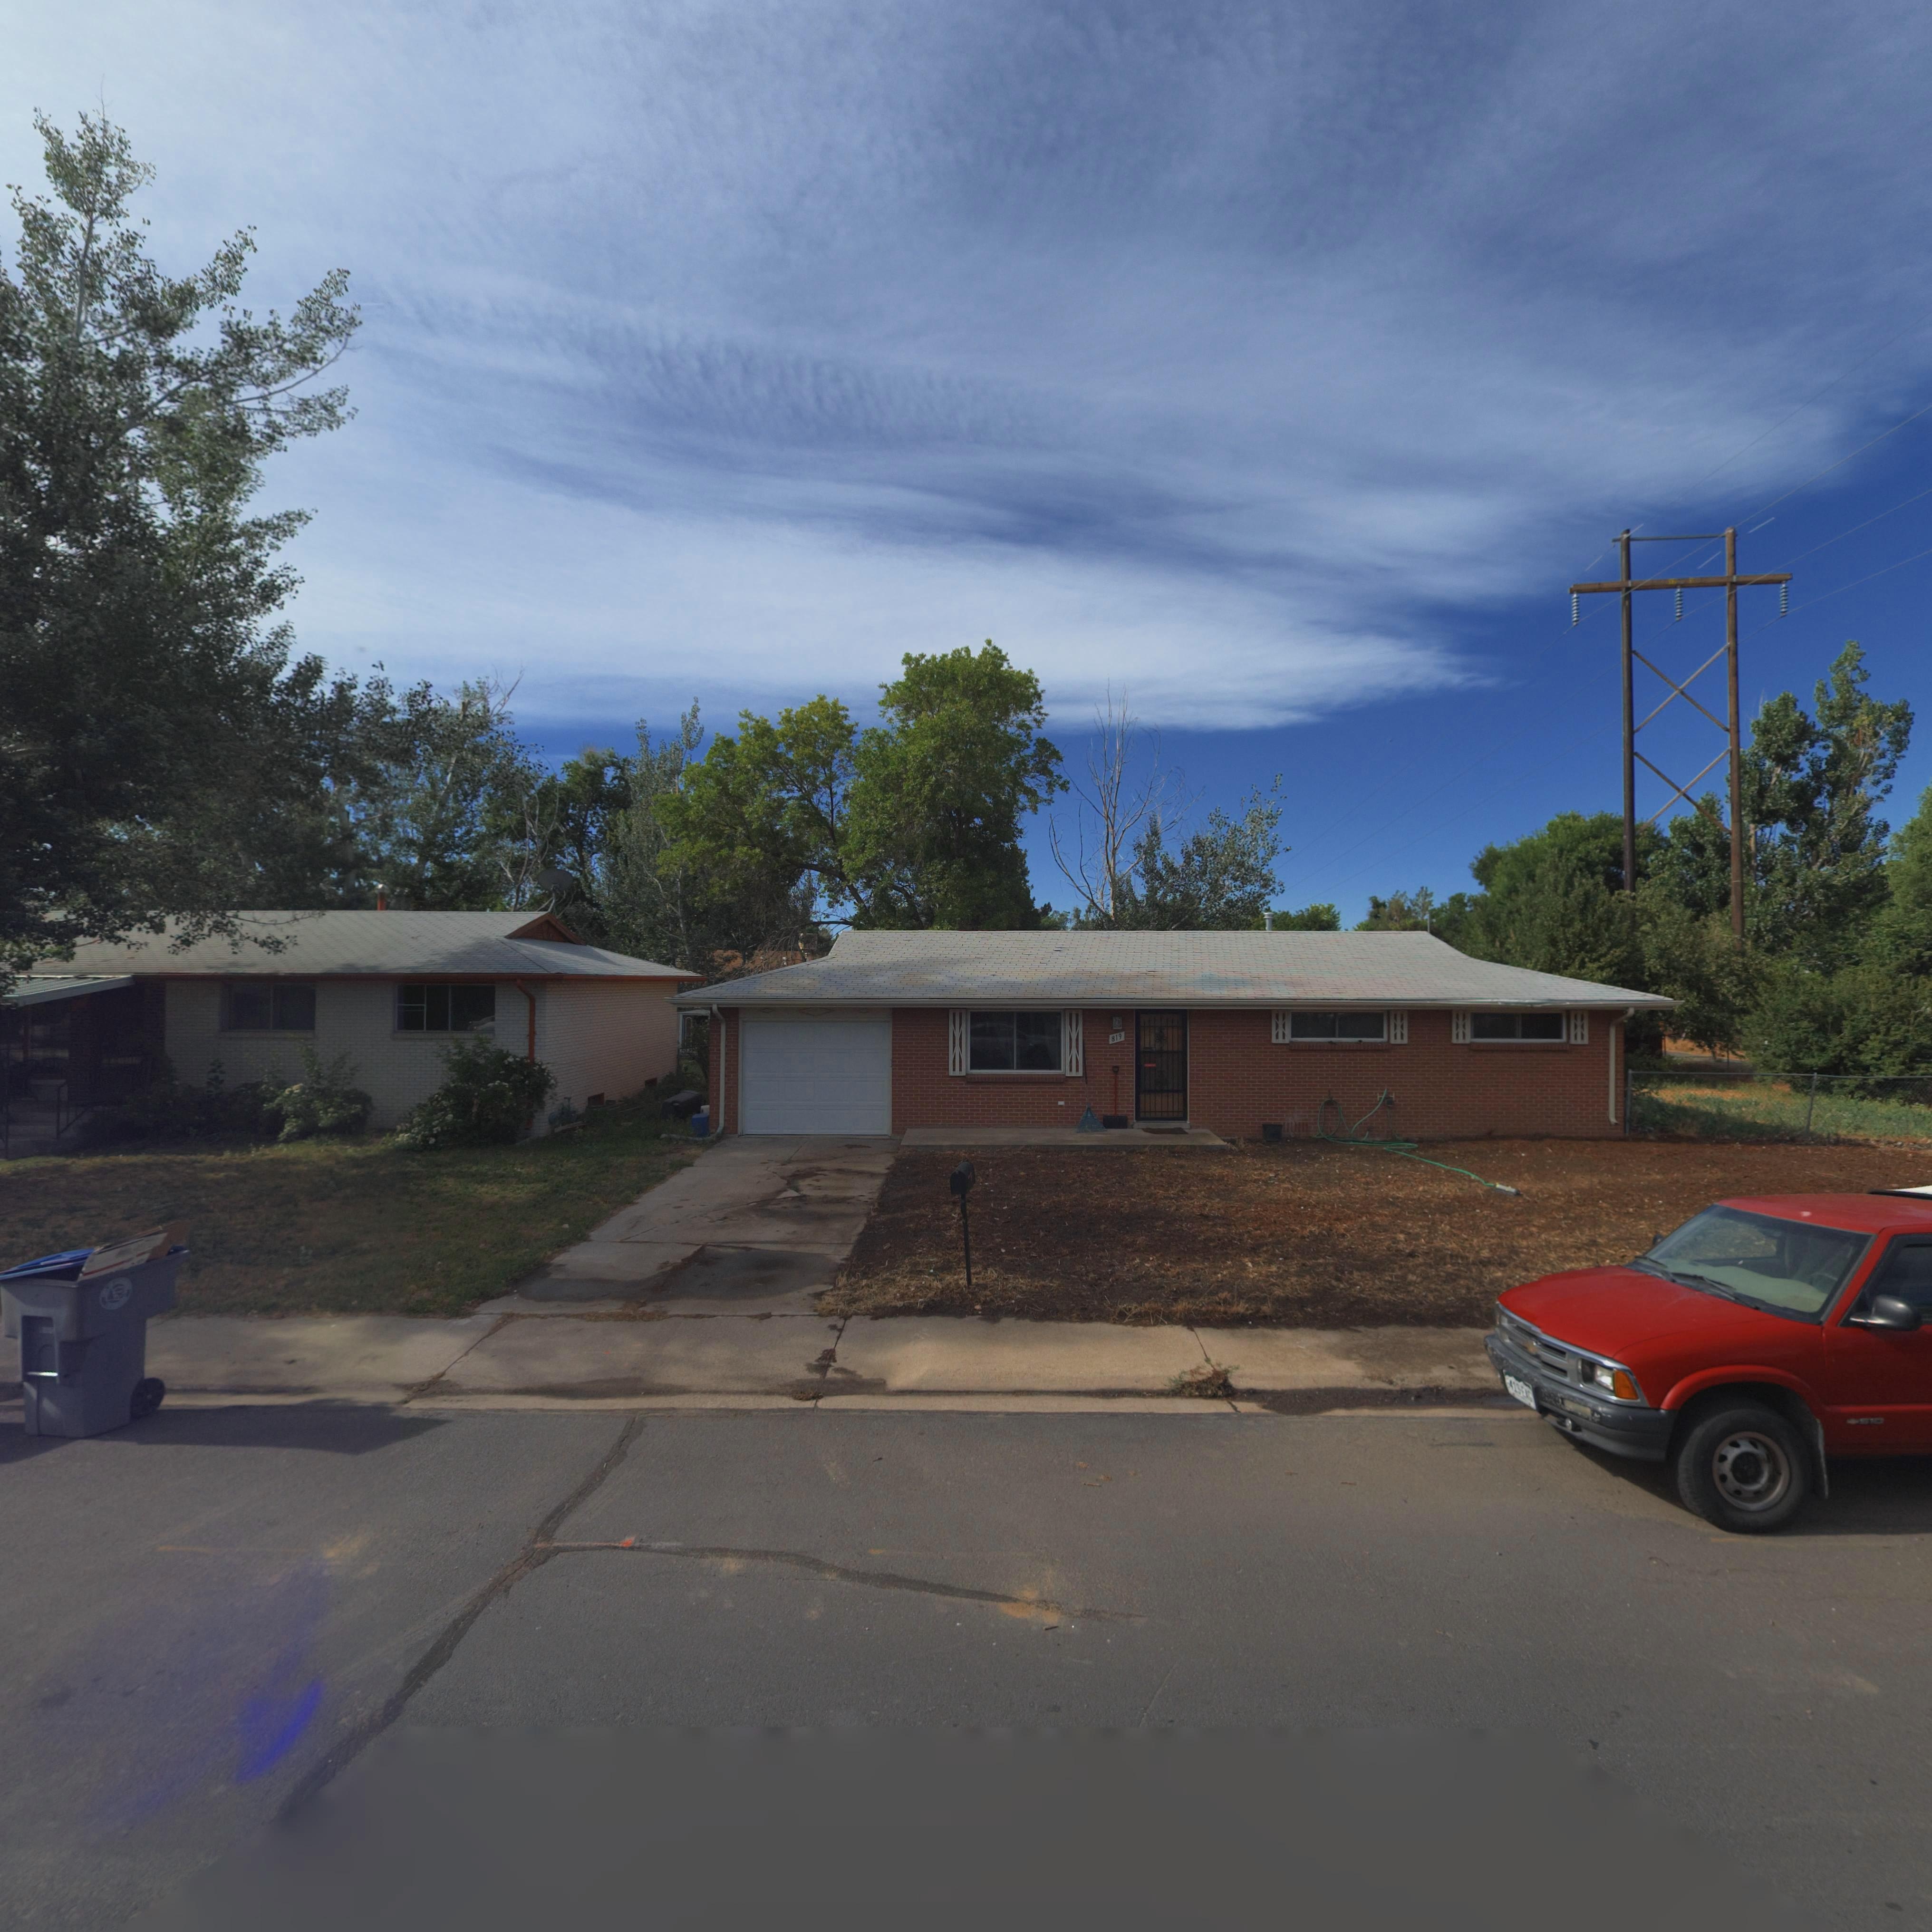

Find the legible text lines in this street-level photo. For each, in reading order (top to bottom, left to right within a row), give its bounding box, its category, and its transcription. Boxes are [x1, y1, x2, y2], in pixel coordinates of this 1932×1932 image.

[1111, 1033, 1121, 1042] StreetNumber: 819